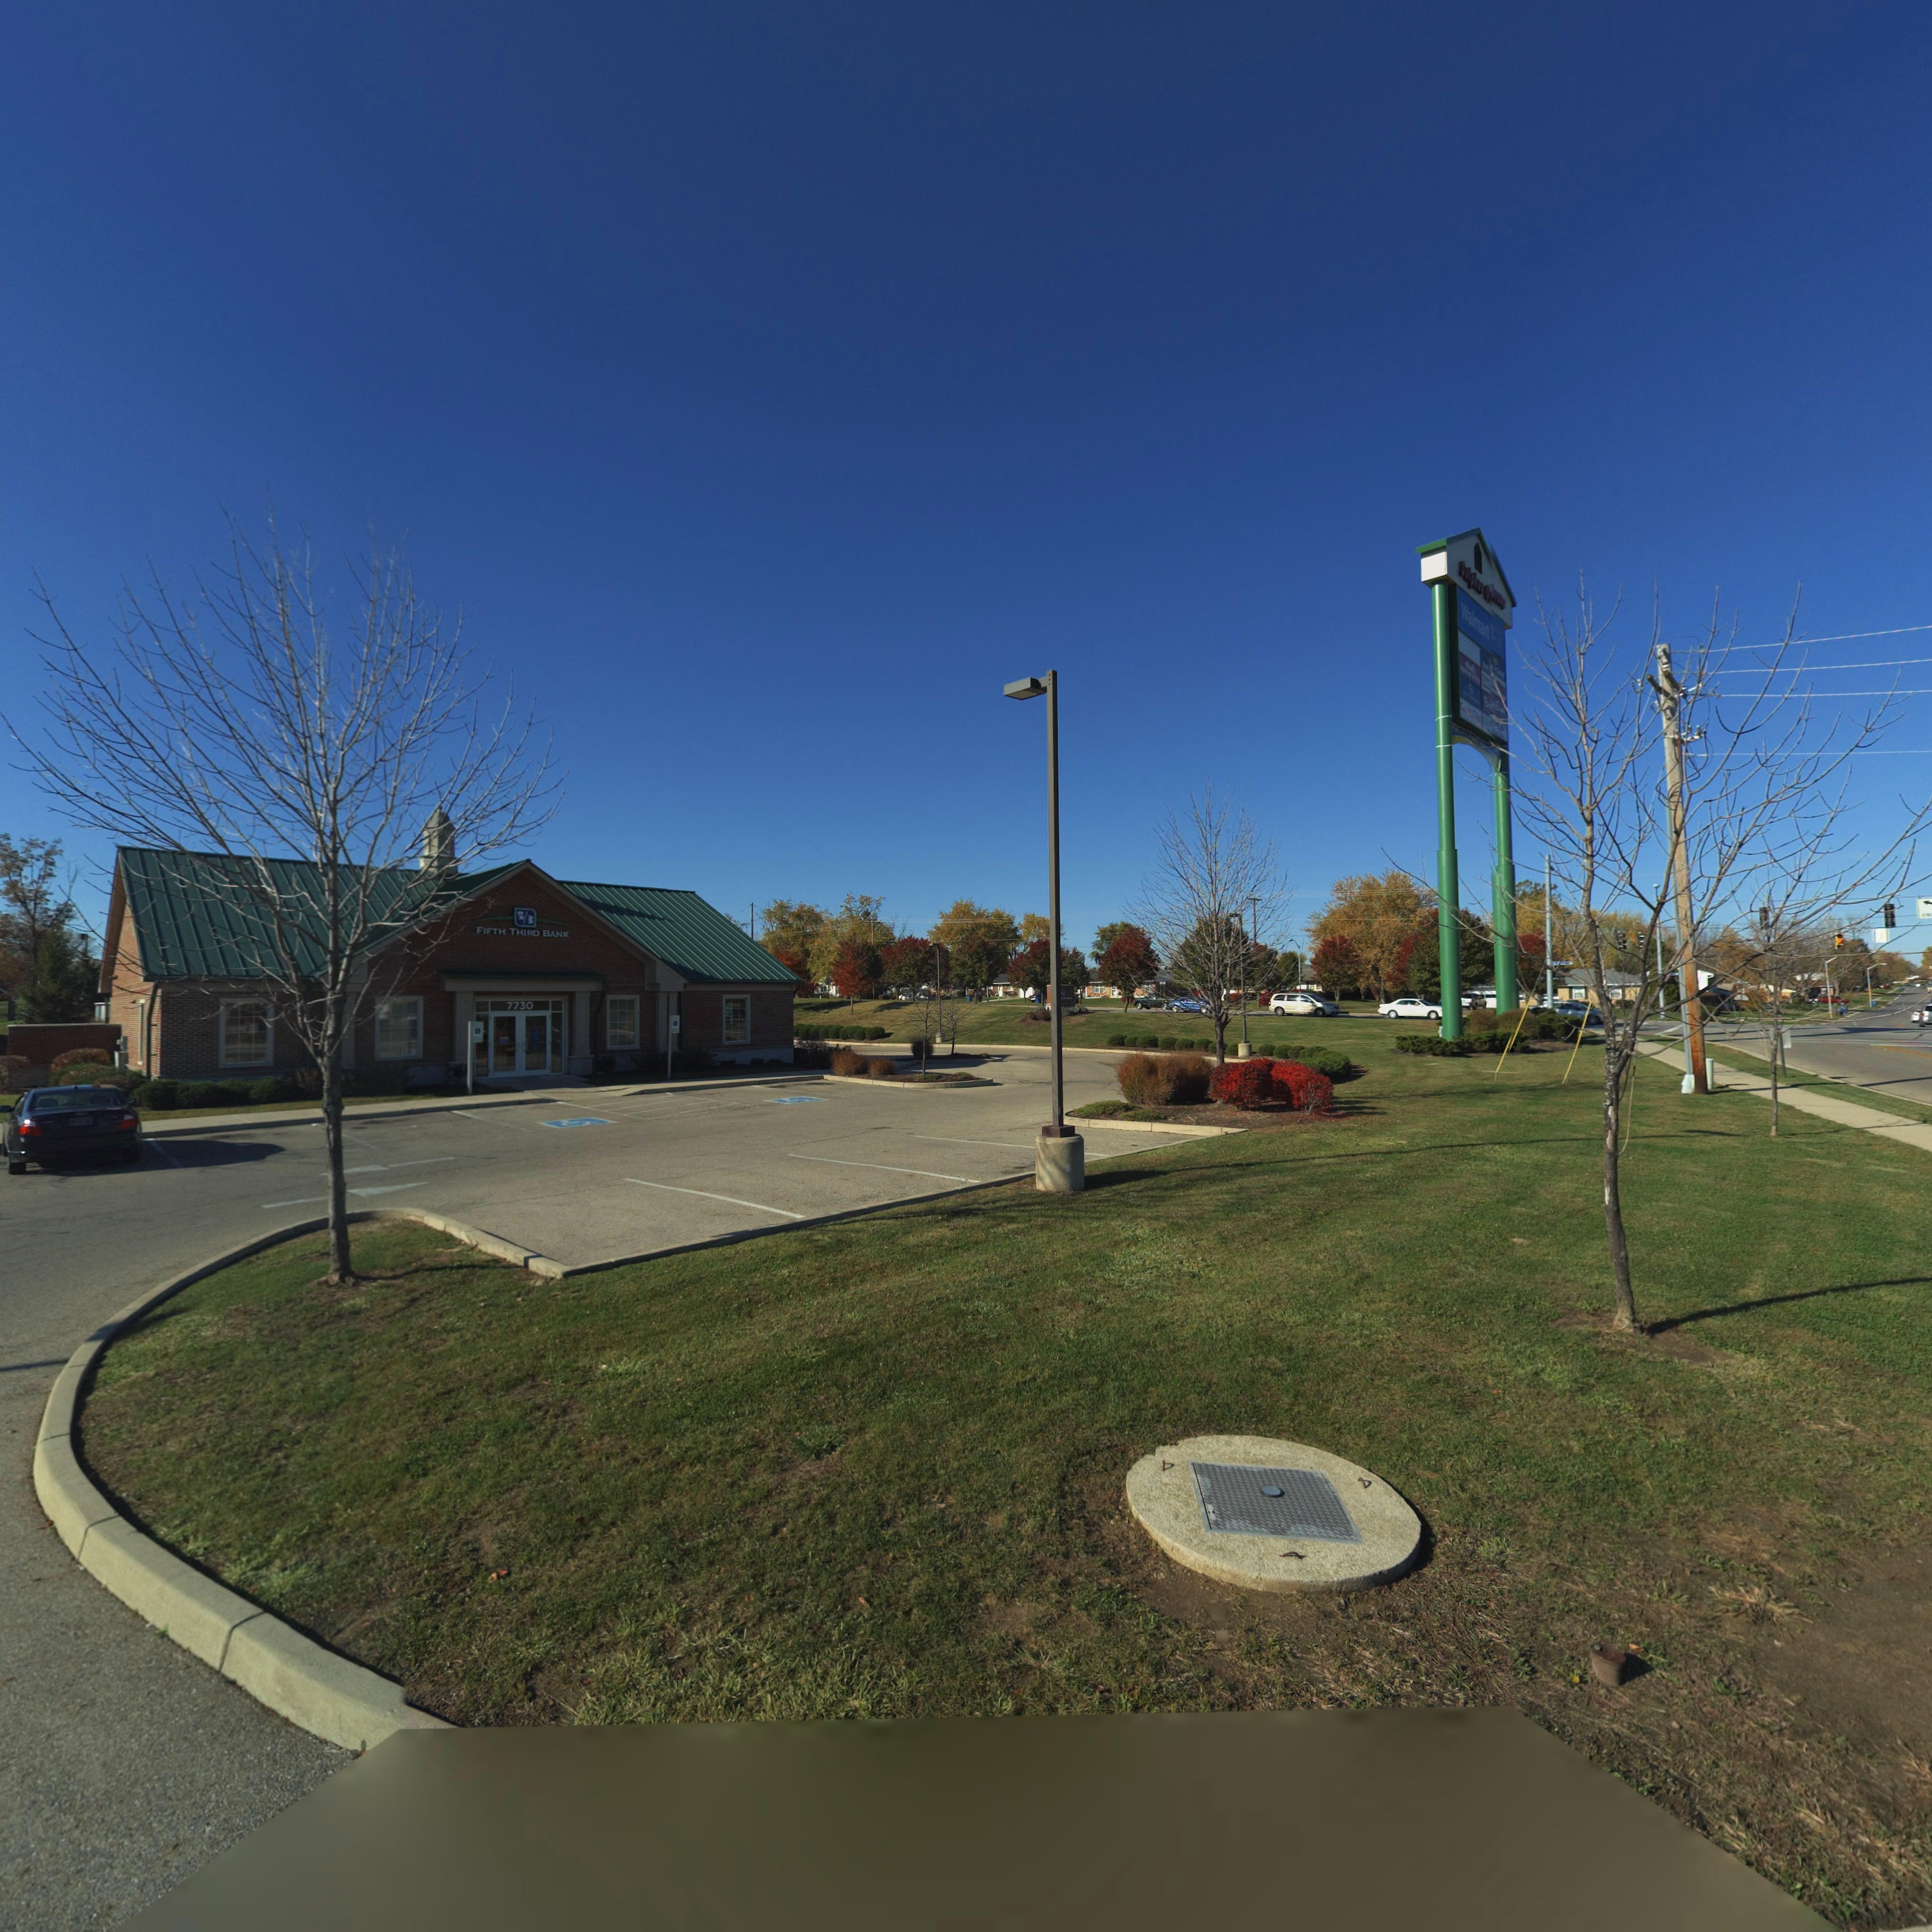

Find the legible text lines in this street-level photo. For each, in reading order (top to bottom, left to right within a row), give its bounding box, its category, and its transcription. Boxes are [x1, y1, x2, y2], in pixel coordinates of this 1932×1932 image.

[475, 926, 570, 938] BusinessName: FIFTH THIRD BANK
[505, 1001, 534, 1012] StreetNumber: 7730